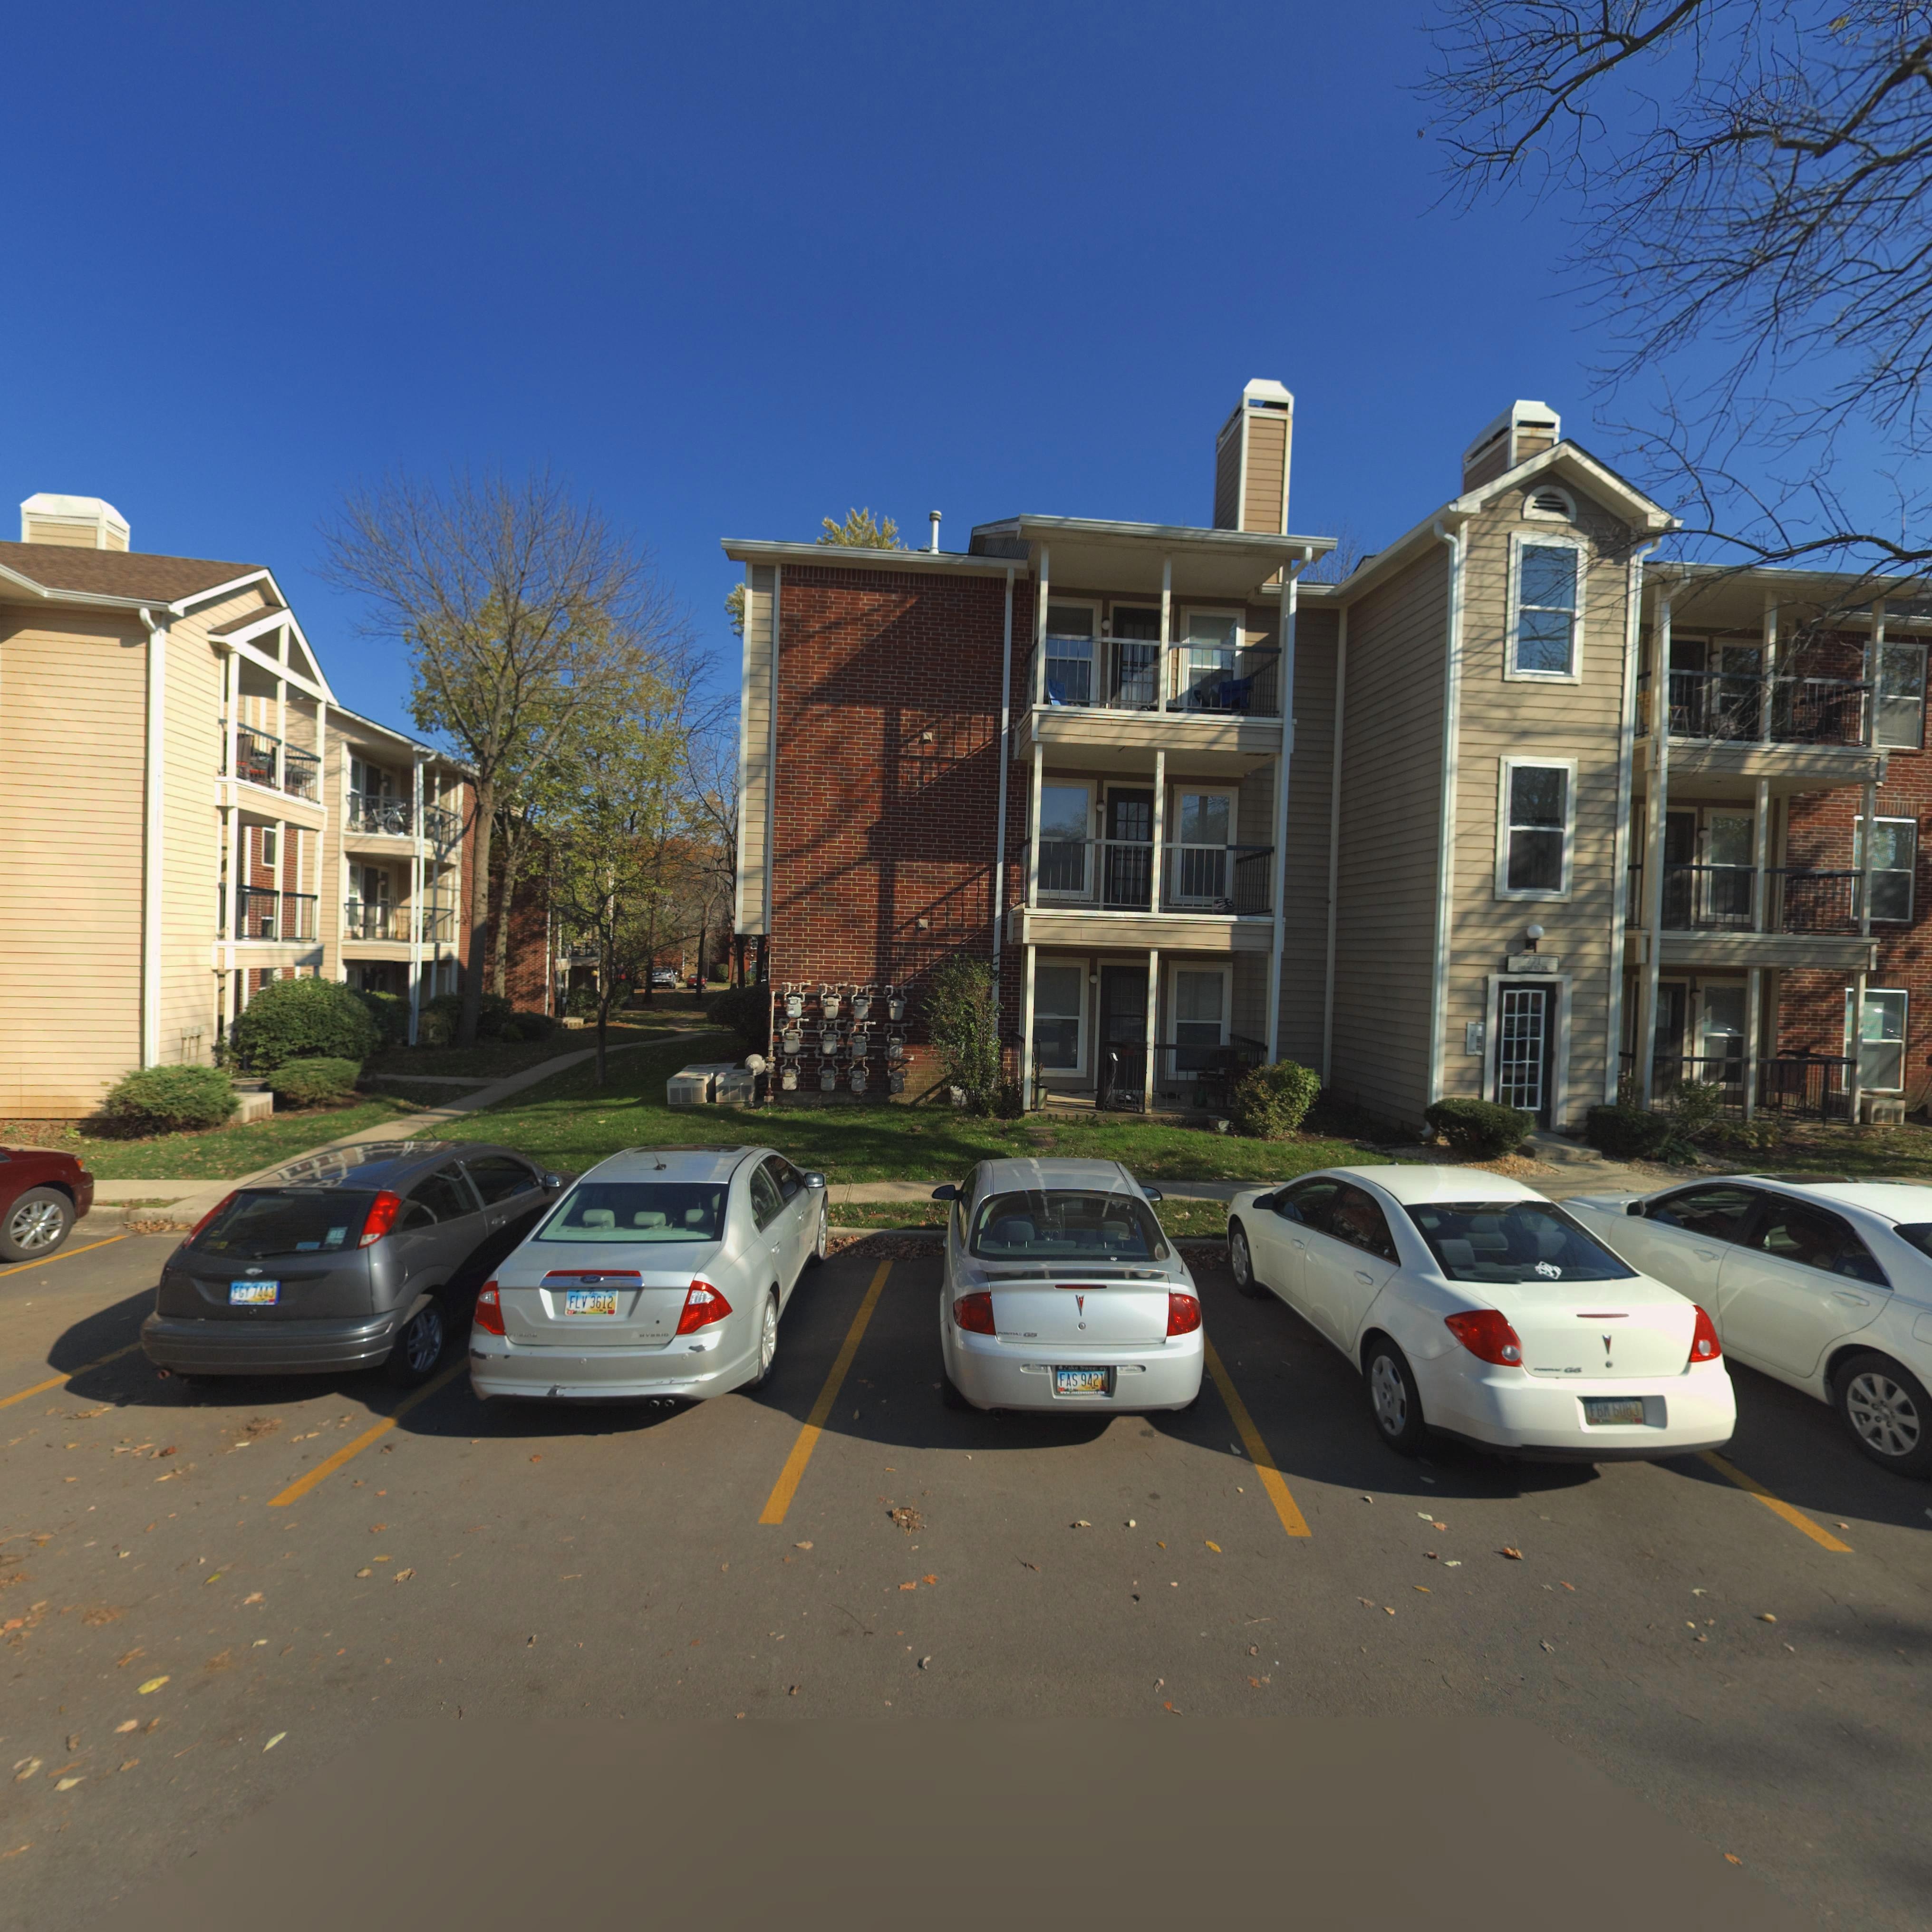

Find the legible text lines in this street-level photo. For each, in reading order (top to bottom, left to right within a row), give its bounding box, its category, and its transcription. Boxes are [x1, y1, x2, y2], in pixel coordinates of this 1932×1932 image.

[1526, 956, 1542, 966] None: 771
[232, 1285, 276, 1299] None: FGY 7443
[569, 1294, 614, 1310] None: FLV 3612
[1023, 1331, 1040, 1338] None: G5
[1059, 1372, 1105, 1388] None: FAS 9421
[1588, 1401, 1641, 1419] None: FB* 6083